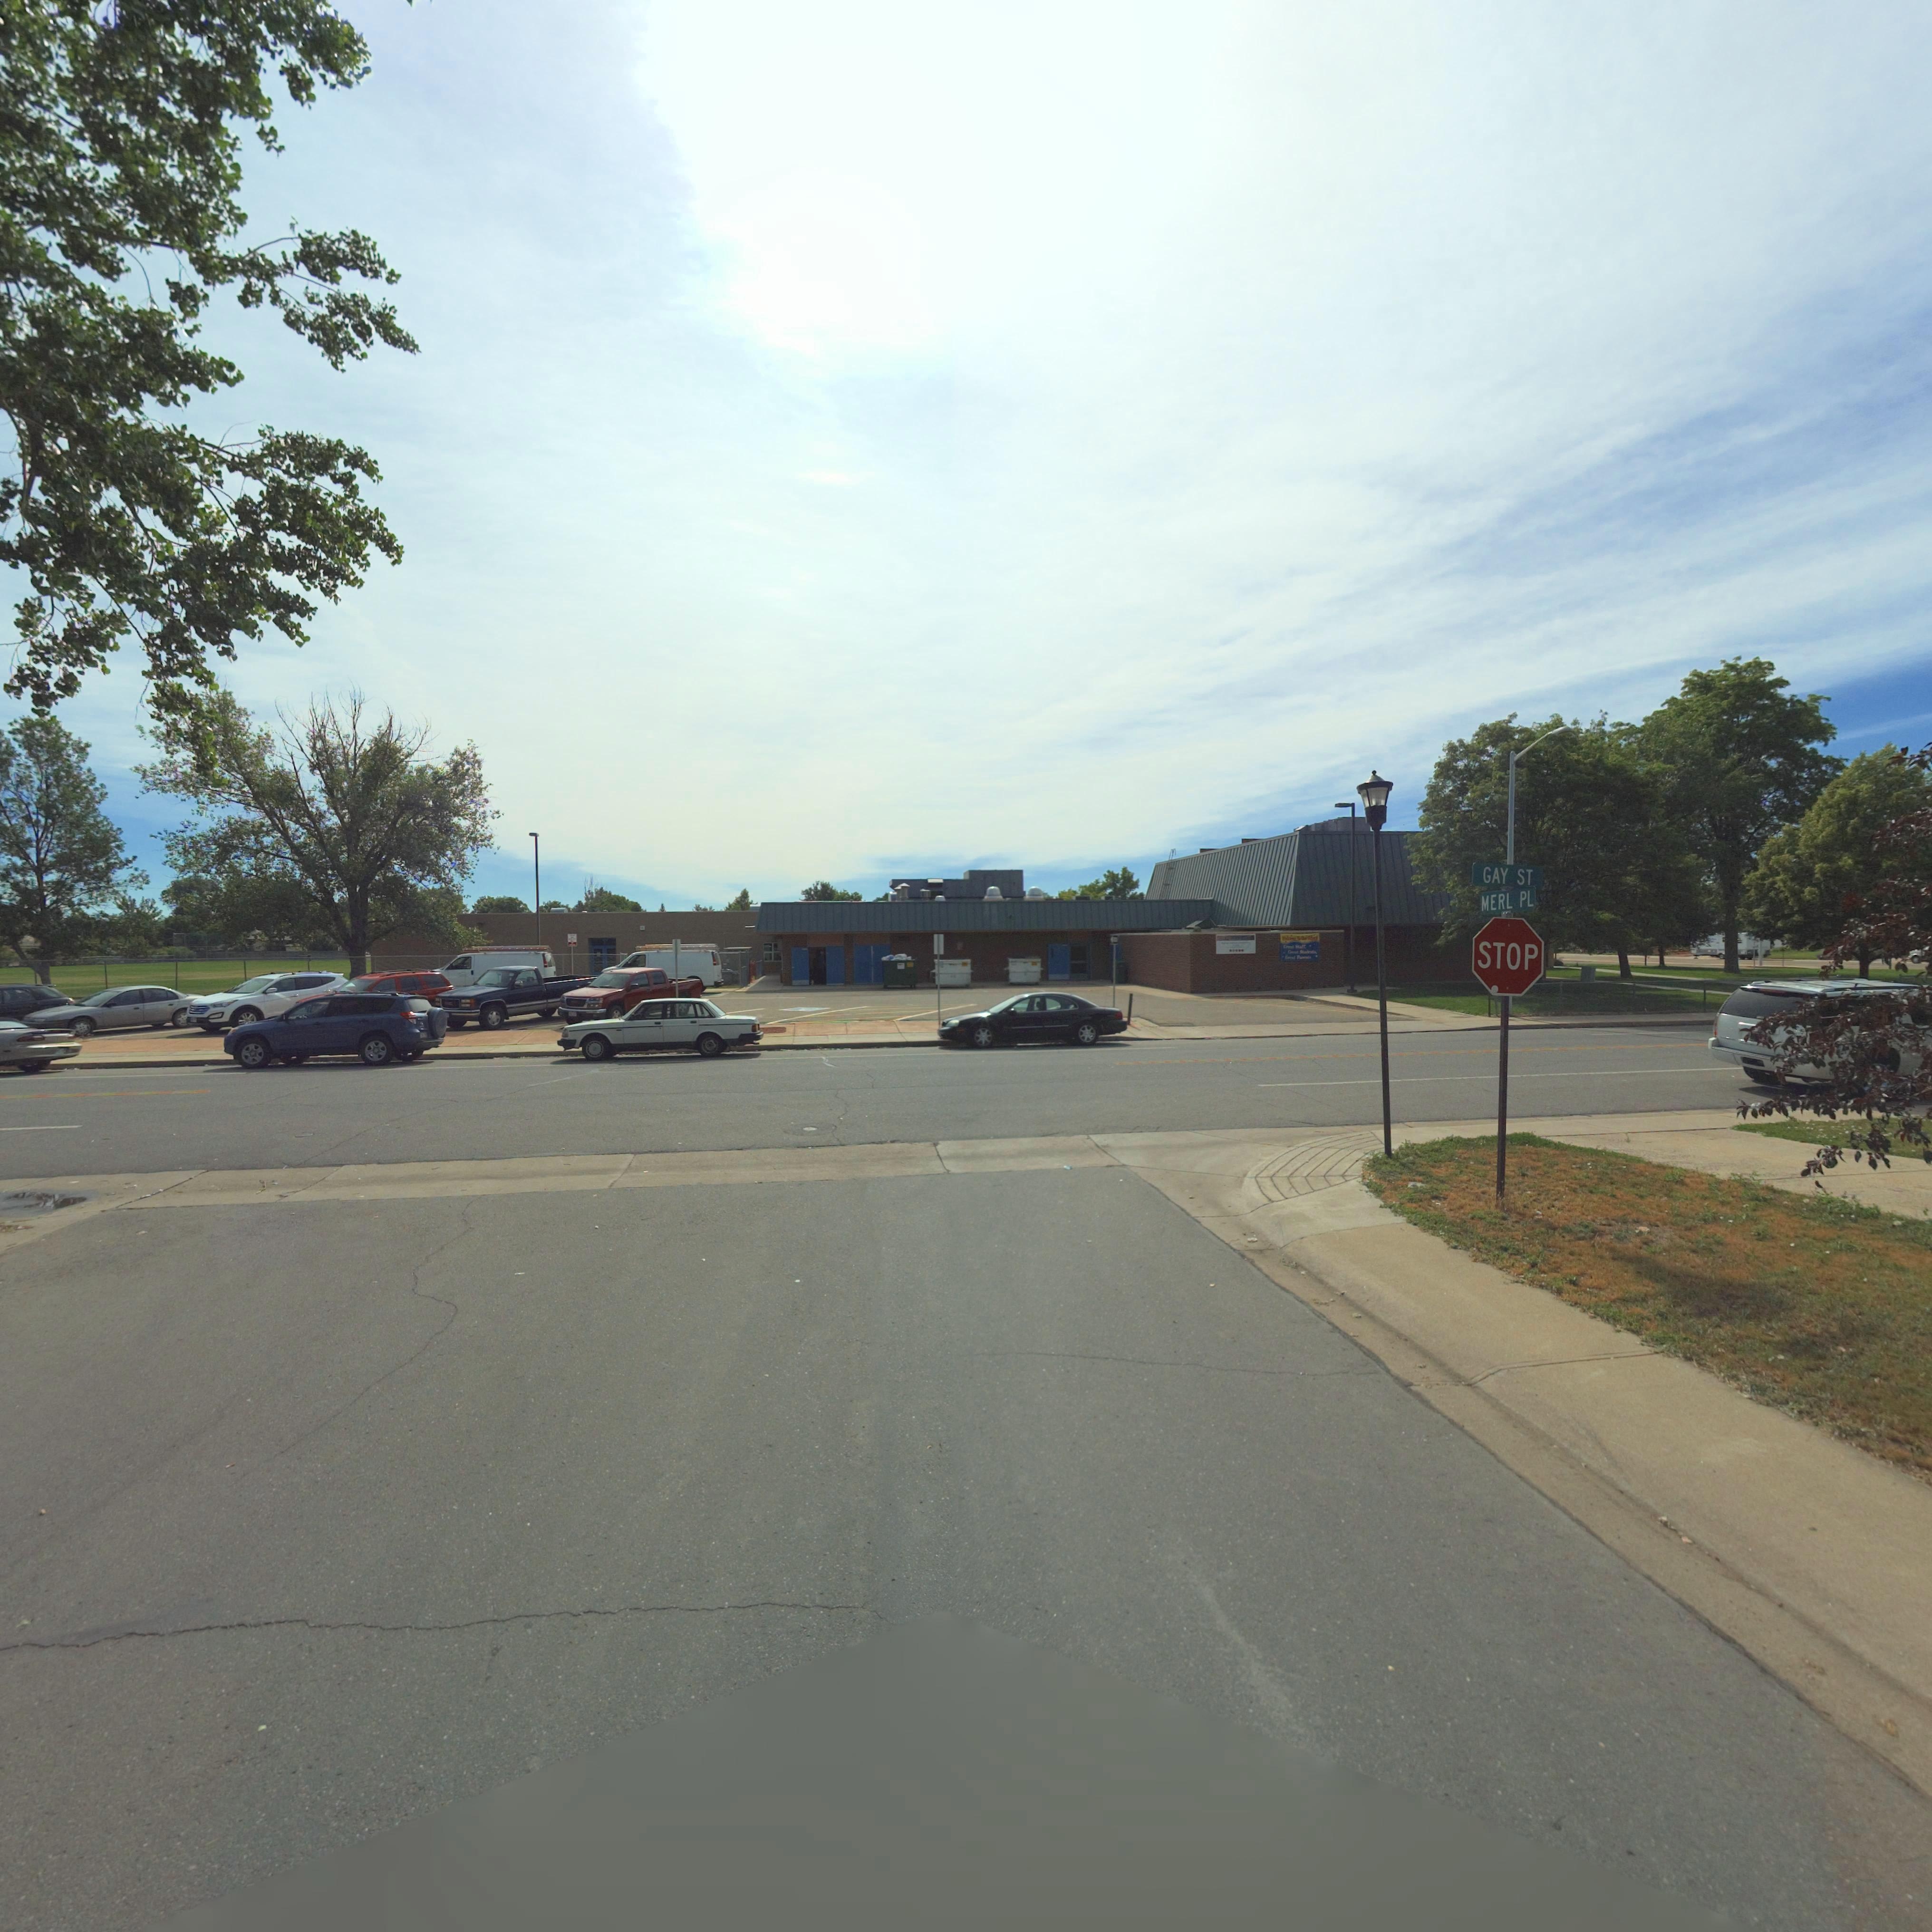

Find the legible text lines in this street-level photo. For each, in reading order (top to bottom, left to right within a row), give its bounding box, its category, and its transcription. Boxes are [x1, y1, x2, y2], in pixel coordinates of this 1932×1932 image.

[1483, 866, 1532, 886] StreetName: GAY ST
[1480, 890, 1533, 911] StreetName: MERL PL